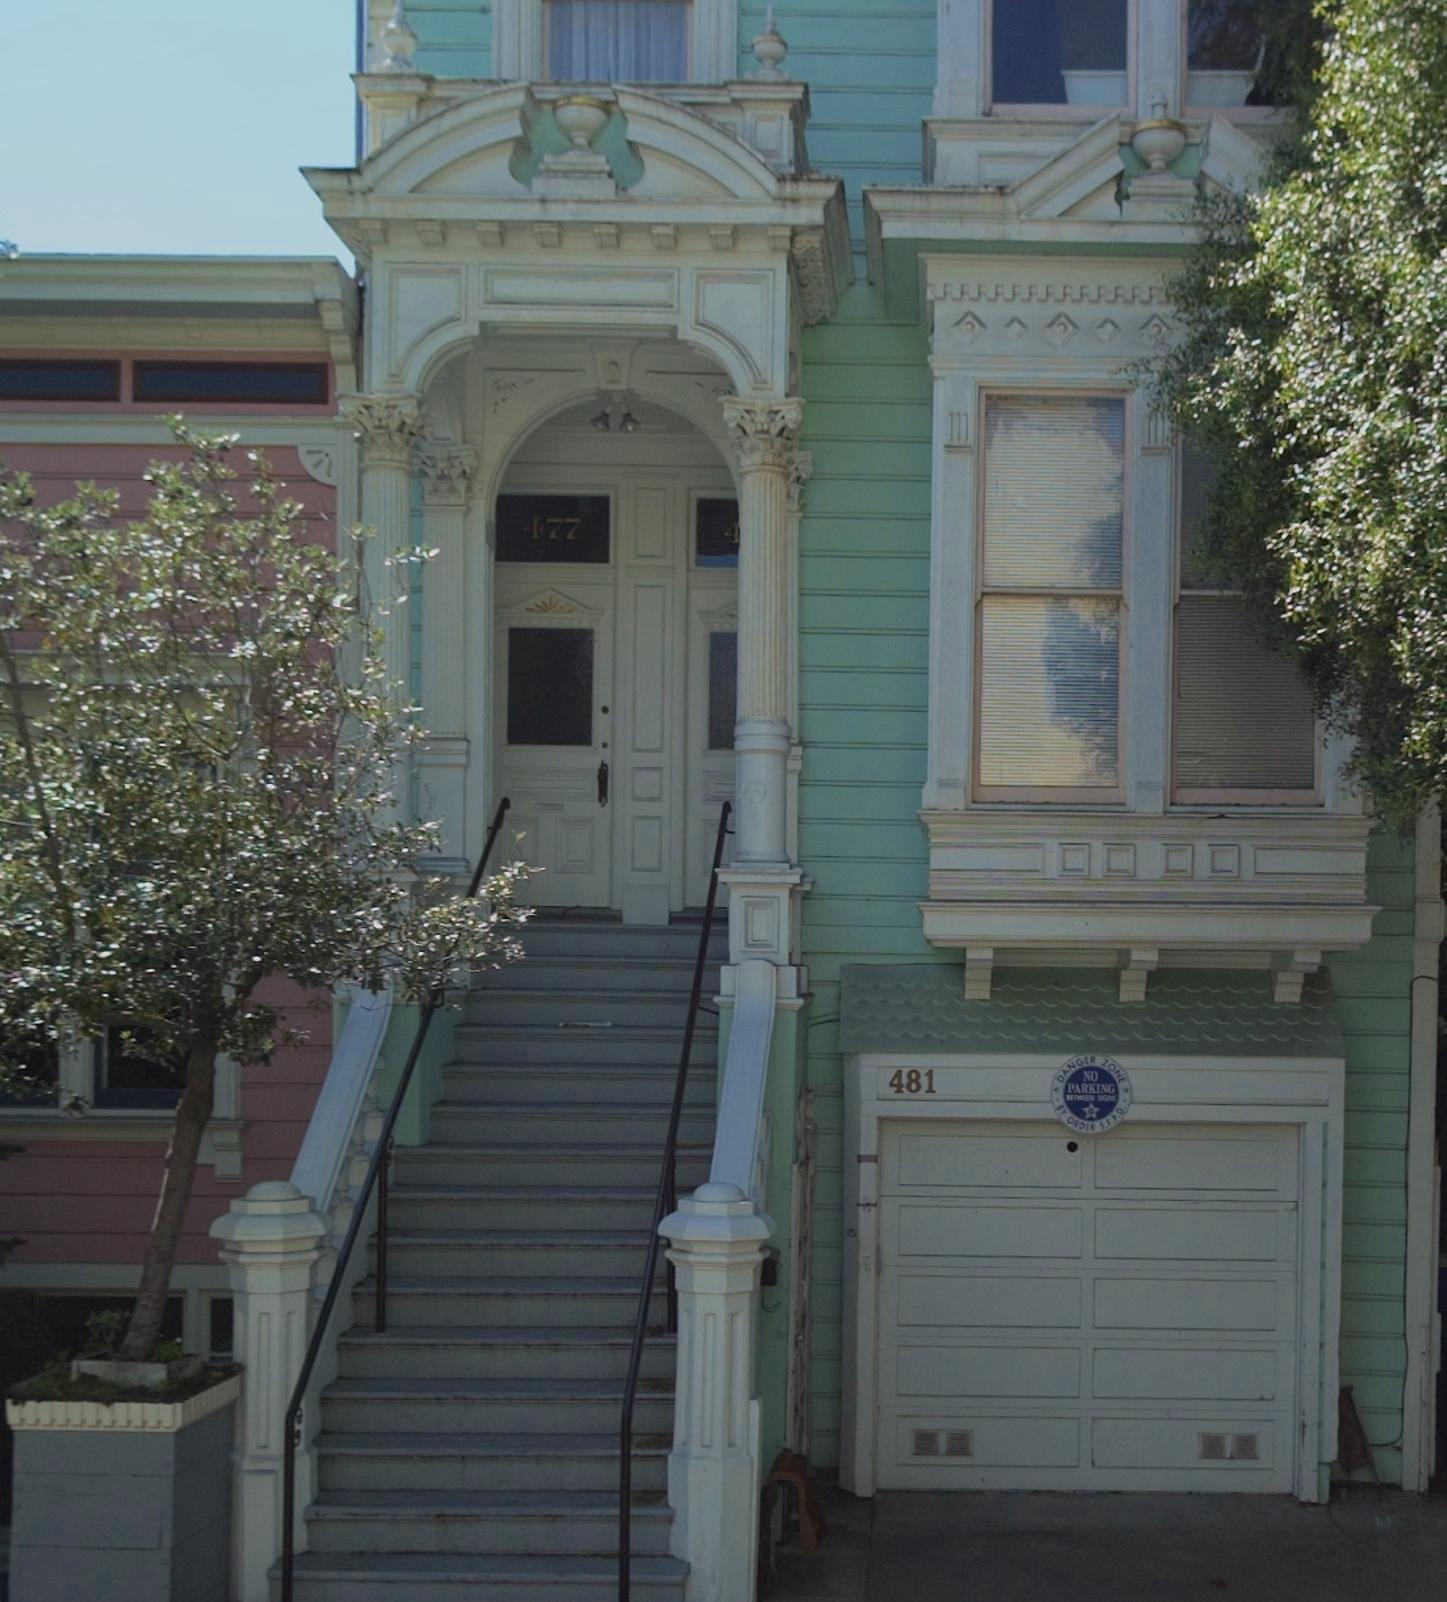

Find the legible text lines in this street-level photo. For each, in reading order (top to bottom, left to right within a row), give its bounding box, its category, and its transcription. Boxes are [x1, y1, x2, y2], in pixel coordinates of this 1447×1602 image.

[523, 516, 582, 541] StreetNumber: 177
[723, 522, 740, 544] StreetNumber: 4
[889, 1069, 938, 1094] StreetNumber: 481
[1080, 1070, 1099, 1082] None: NO
[1067, 1081, 1114, 1092] None: PARKING
[1055, 1053, 1130, 1085] None: DANAGER ZONE
[1053, 1102, 1097, 1134] None: BY ORDER